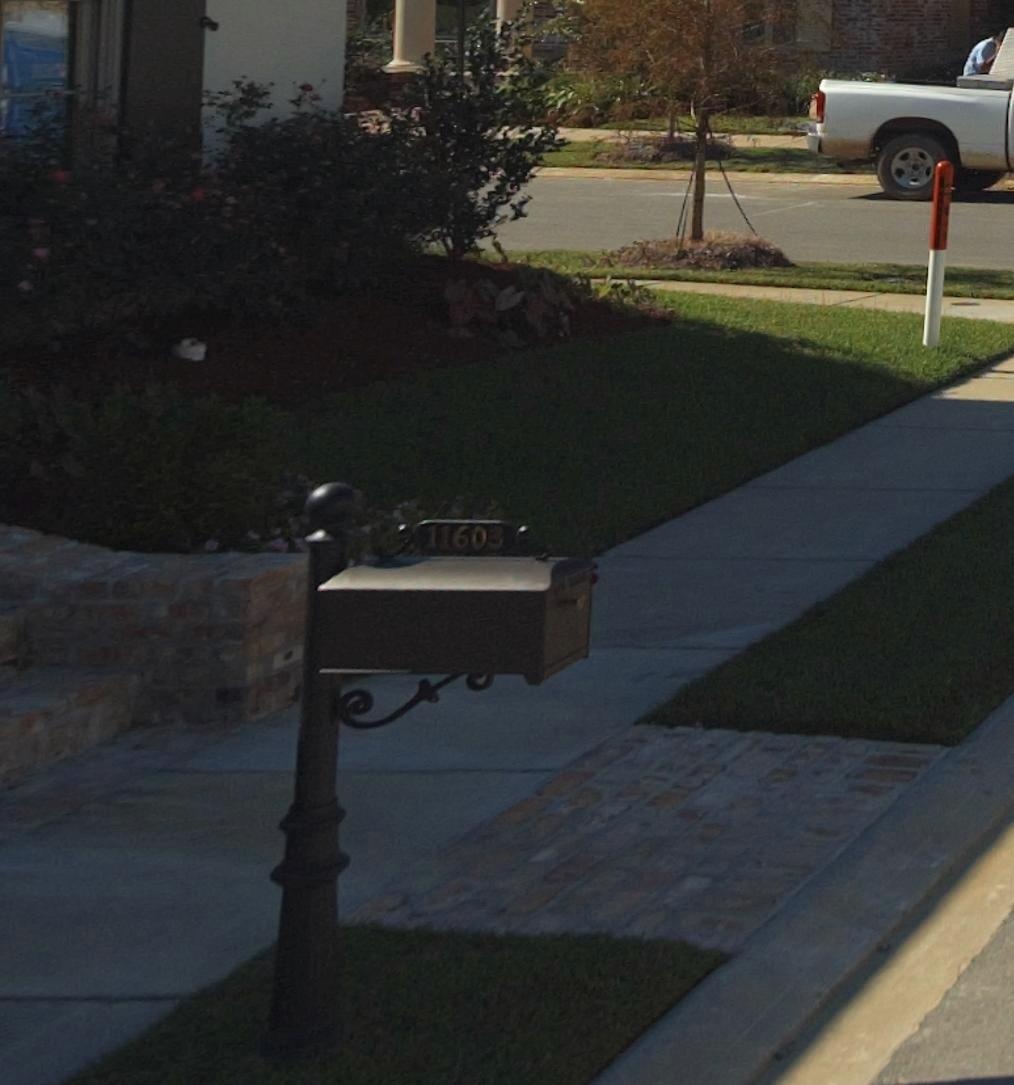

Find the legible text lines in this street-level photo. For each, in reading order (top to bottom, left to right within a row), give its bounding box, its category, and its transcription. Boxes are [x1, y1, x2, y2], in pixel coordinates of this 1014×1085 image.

[425, 524, 506, 550] StreetNumber: 11603